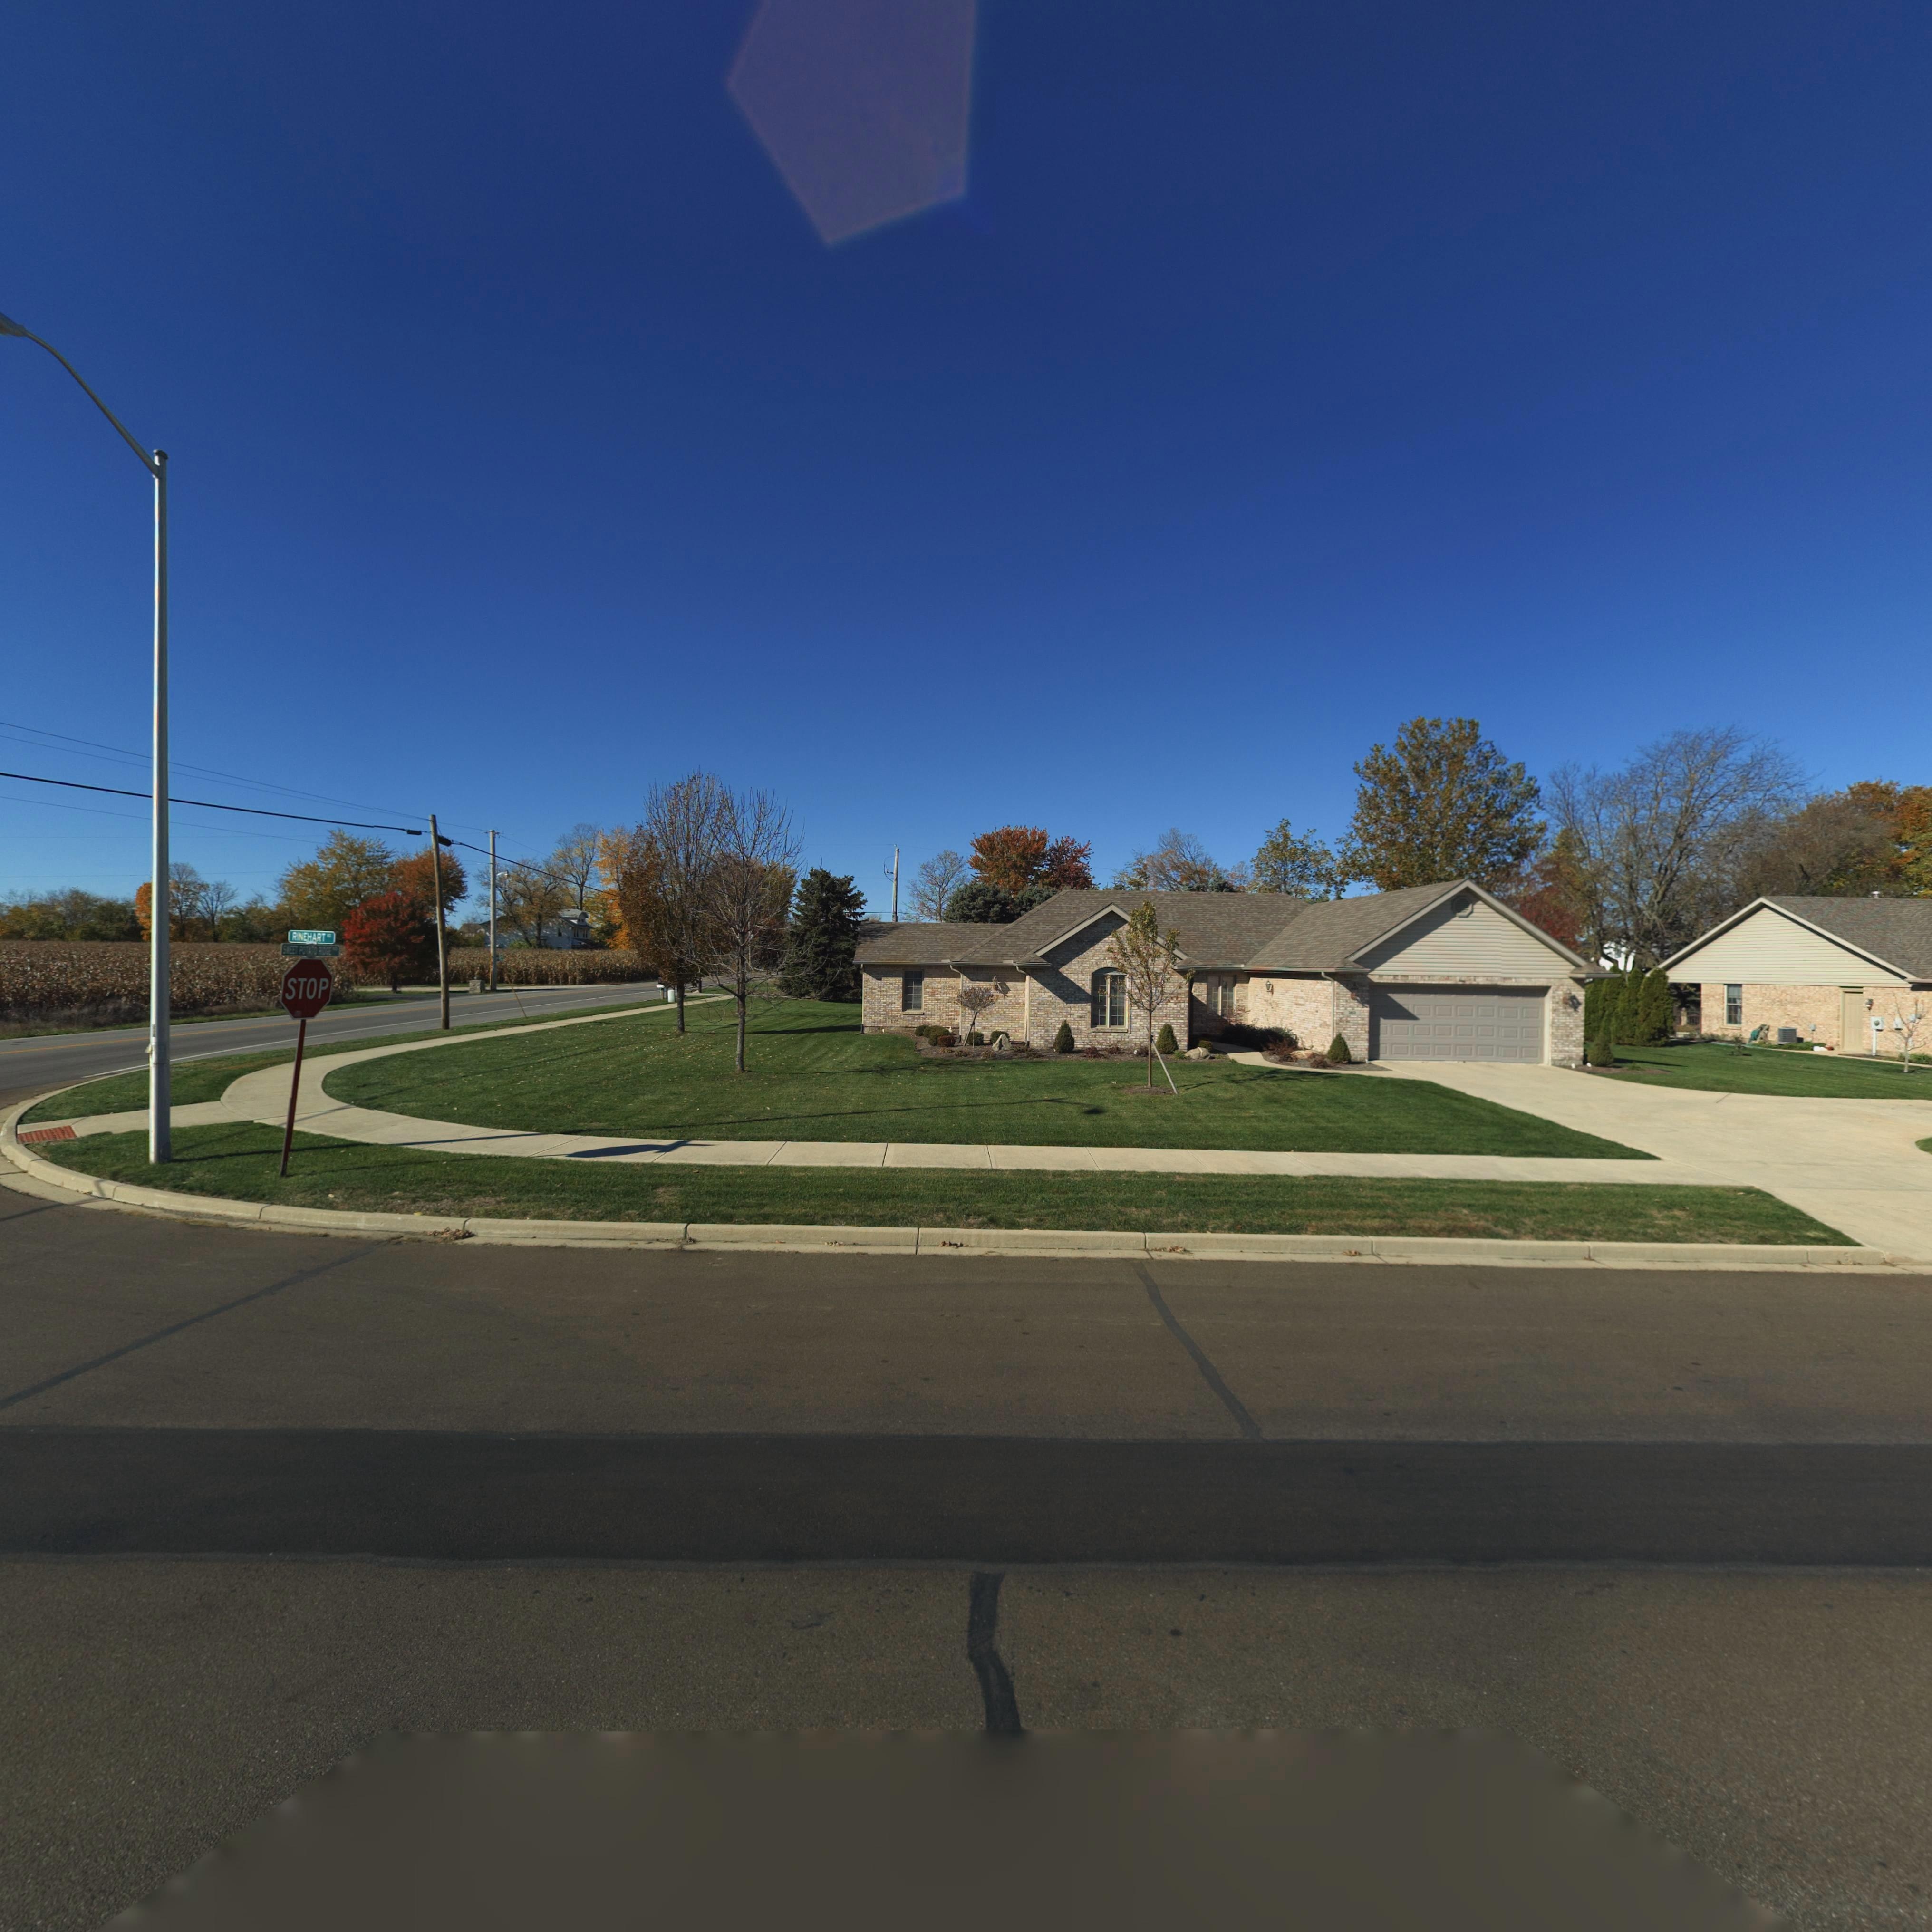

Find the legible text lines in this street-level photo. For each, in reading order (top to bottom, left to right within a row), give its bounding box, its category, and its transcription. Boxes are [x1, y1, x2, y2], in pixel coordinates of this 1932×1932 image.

[290, 930, 327, 942] StreetName: RINEHART
[282, 945, 333, 956] None: S*EET POT**O ****
[284, 976, 331, 1002] None: STOP
[1348, 1010, 1356, 1014] StreetNumber: 3*3